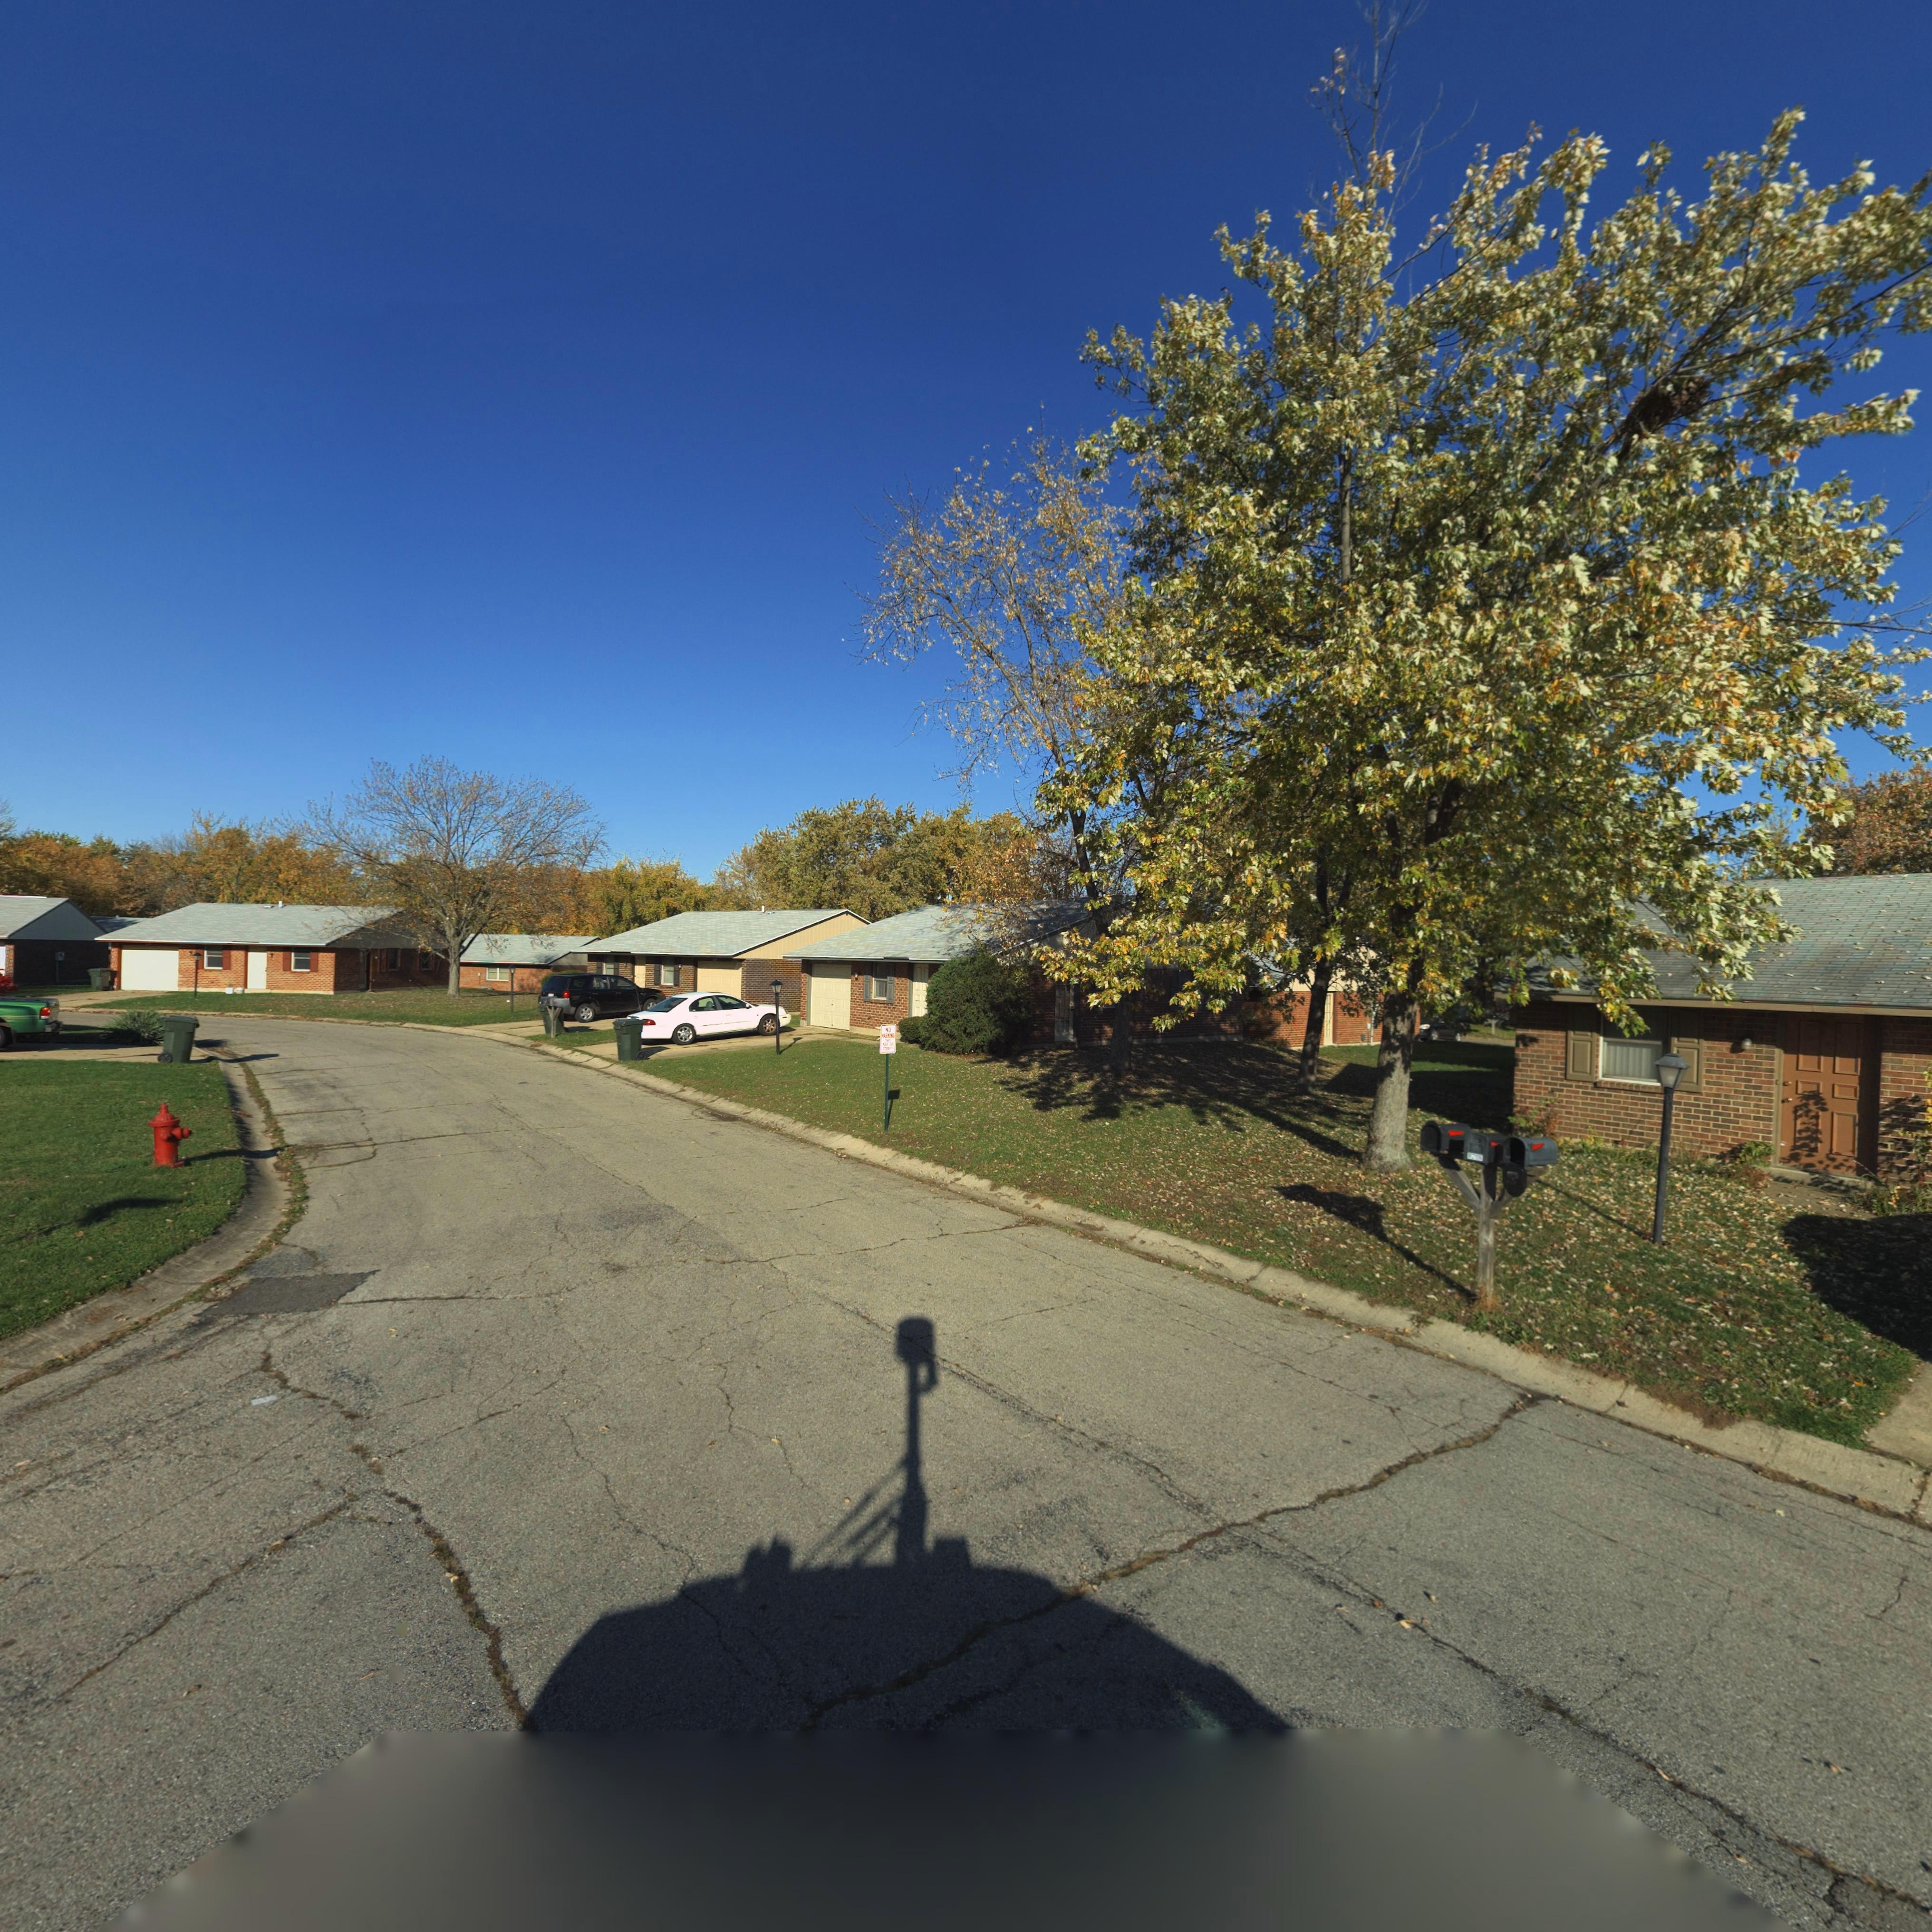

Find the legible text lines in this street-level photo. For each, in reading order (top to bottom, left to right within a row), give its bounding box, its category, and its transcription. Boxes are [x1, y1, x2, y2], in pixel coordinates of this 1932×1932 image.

[1467, 1152, 1483, 1162] StreetNumber: *20*